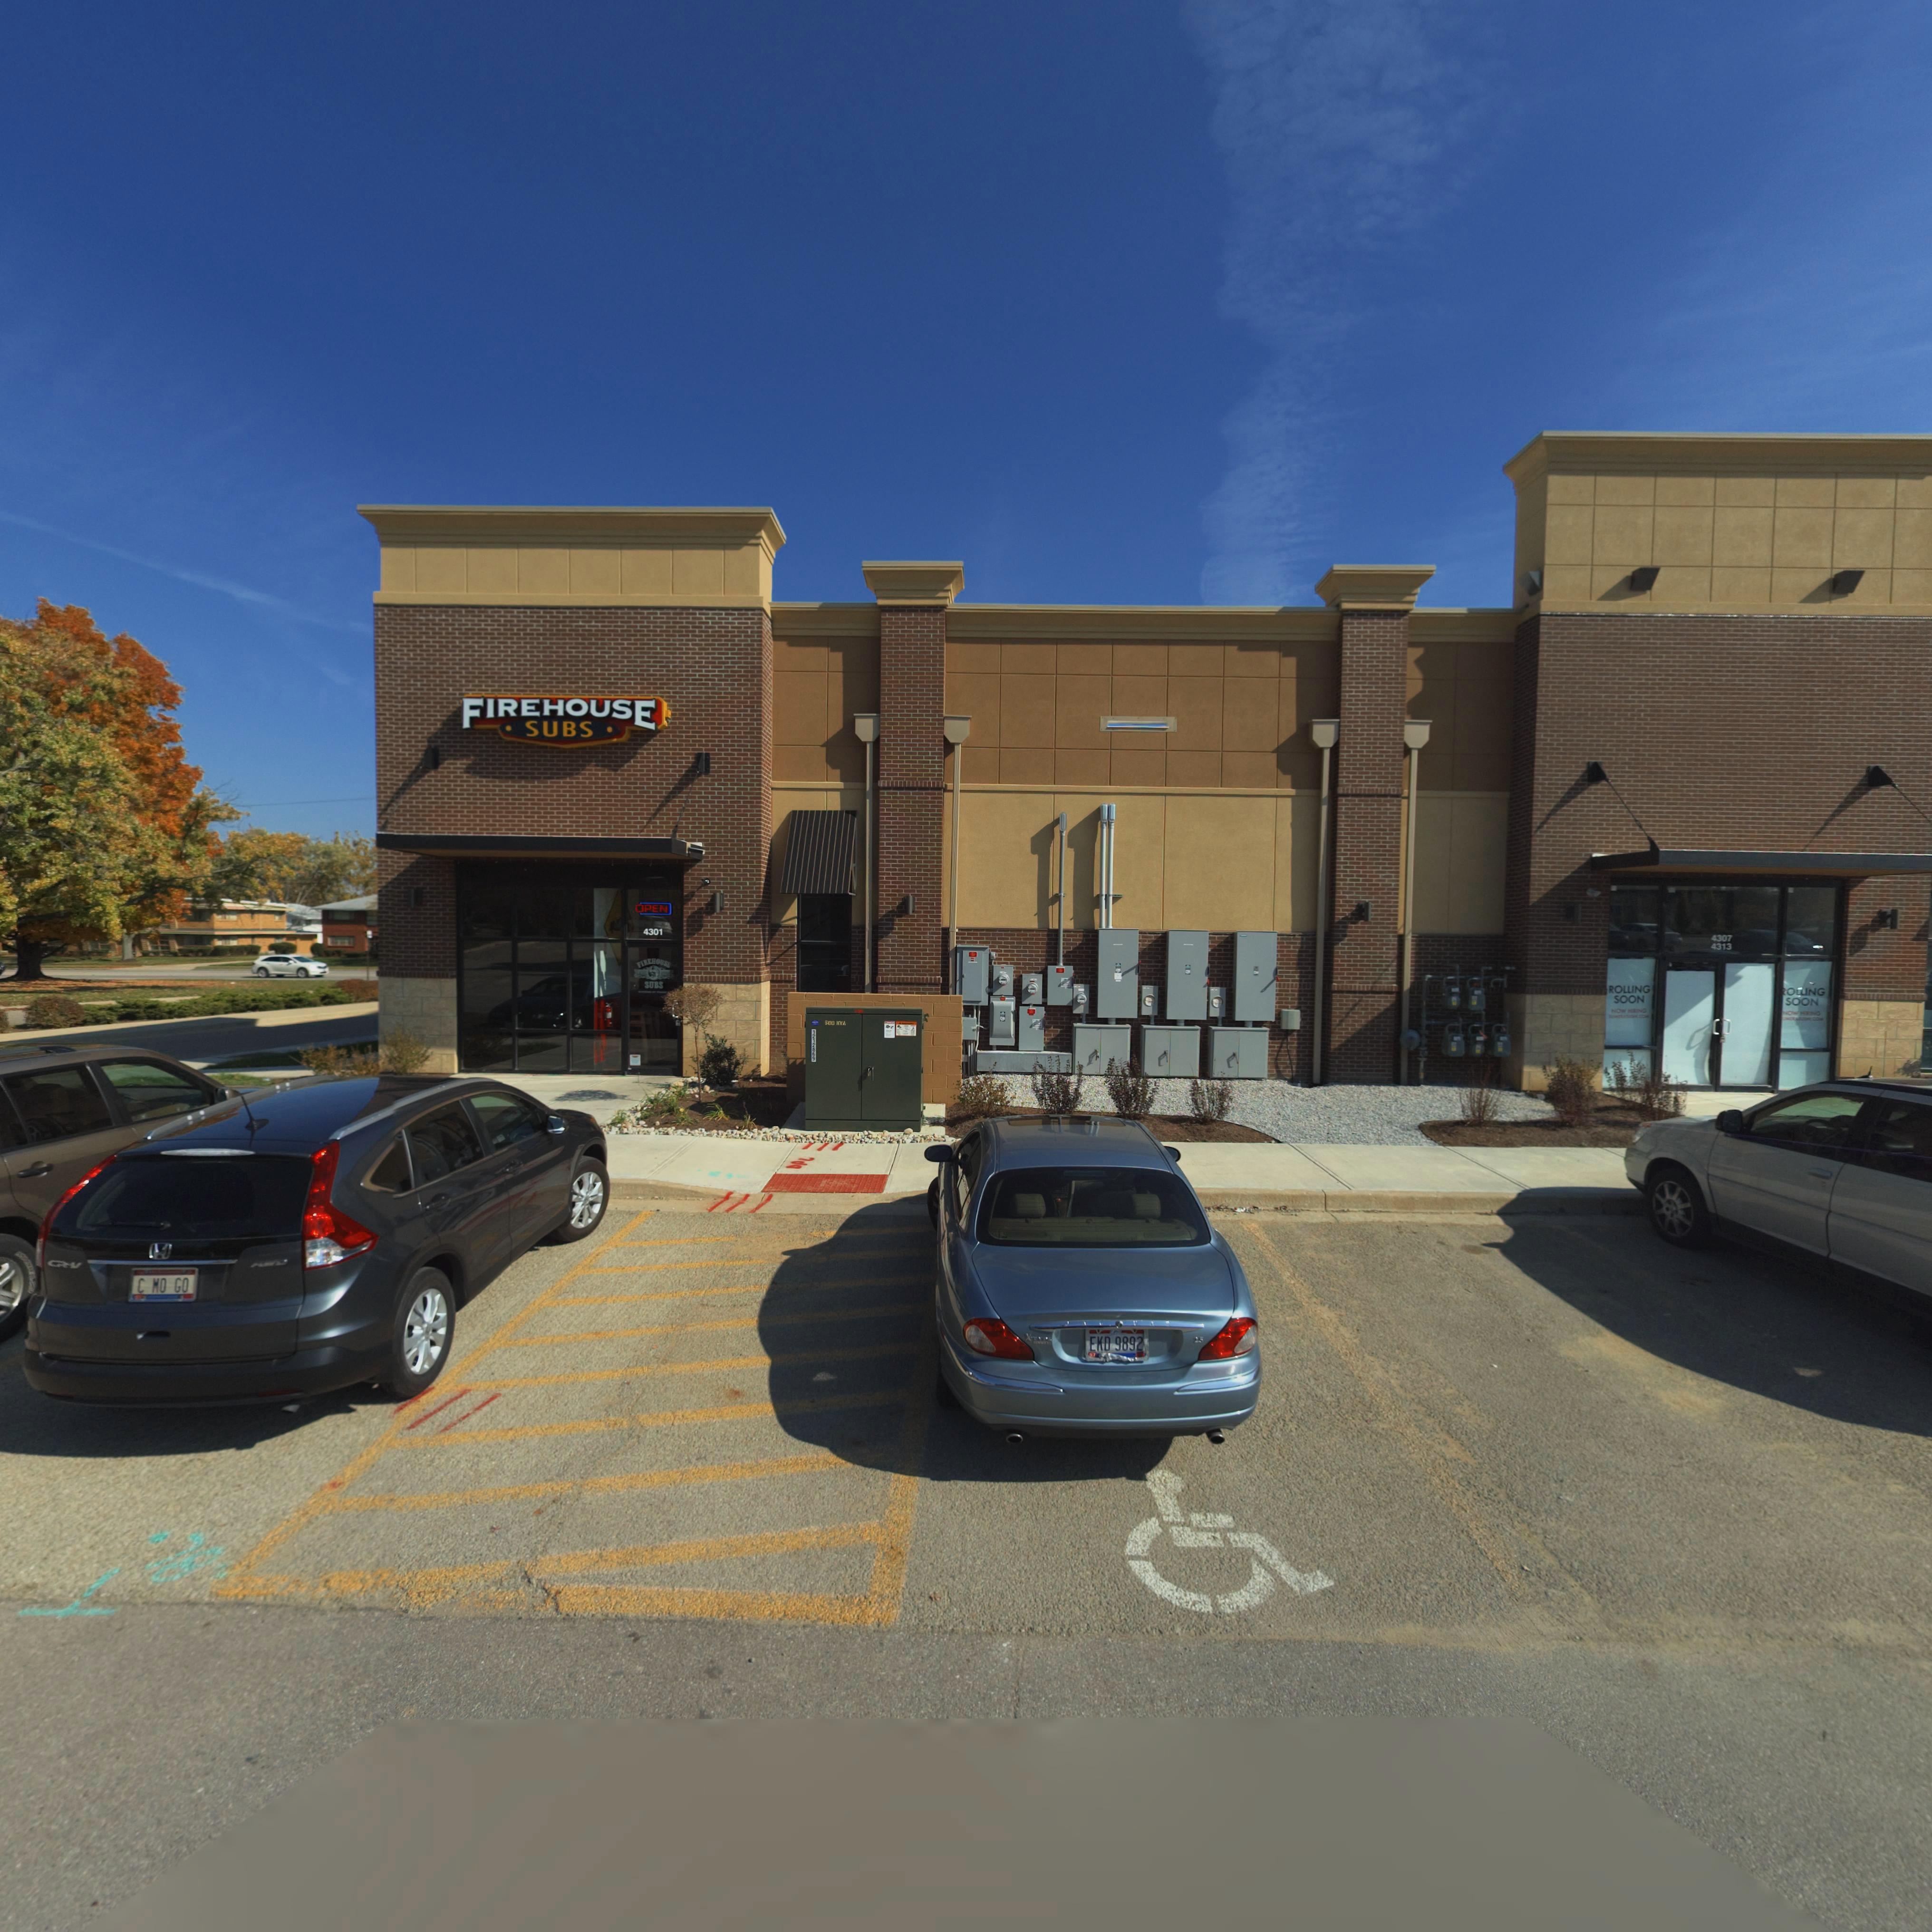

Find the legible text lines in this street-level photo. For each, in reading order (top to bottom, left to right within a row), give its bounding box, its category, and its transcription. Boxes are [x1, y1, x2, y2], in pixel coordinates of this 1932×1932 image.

[459, 695, 658, 732] BusinessName: FIREHOUSE
[523, 719, 596, 740] BusinessName: SUBS
[641, 927, 664, 937] StreetNumber: 4301
[1710, 933, 1734, 943] StreetNumber: 4307
[1710, 942, 1733, 951] StreetNumber: 4313
[635, 957, 673, 969] BusinessName: FIREHOUSE
[643, 980, 665, 990] BusinessName: SUBS
[1024, 1332, 1033, 1343] None: X